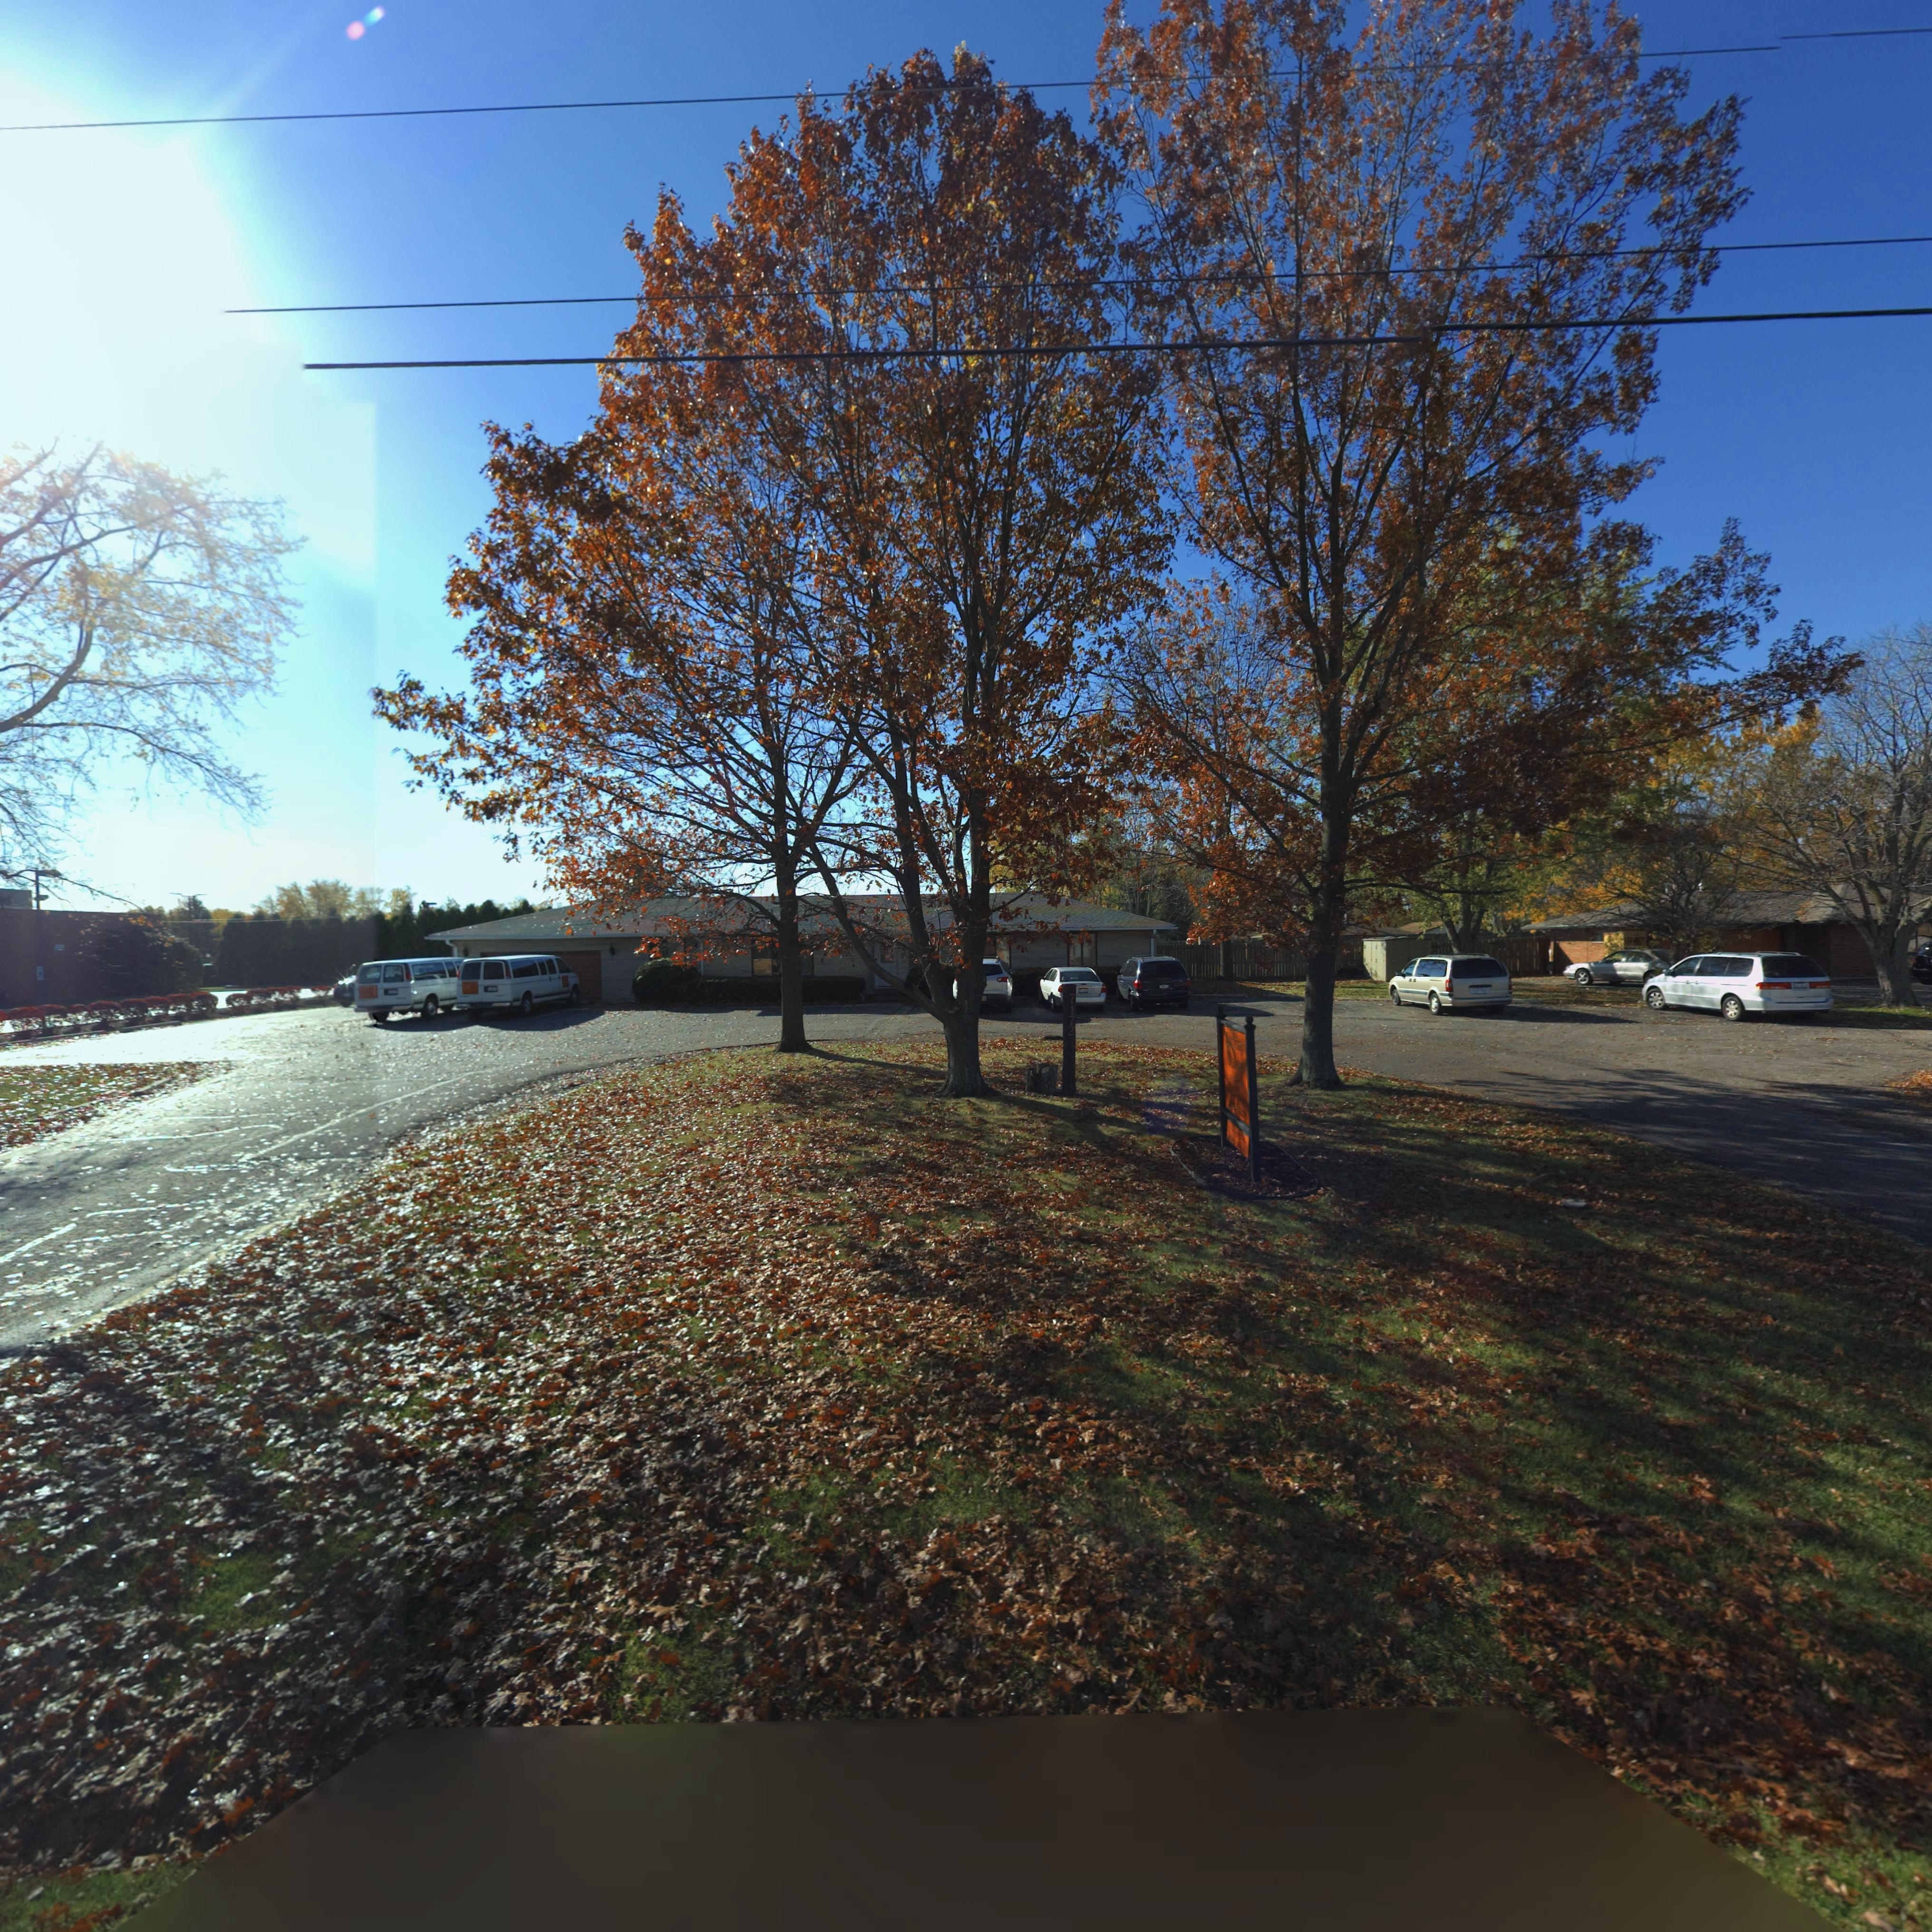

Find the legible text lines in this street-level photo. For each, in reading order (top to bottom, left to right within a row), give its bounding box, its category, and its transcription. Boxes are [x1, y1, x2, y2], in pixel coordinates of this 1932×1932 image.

[1067, 993, 1077, 1038] StreetNumber: 7172